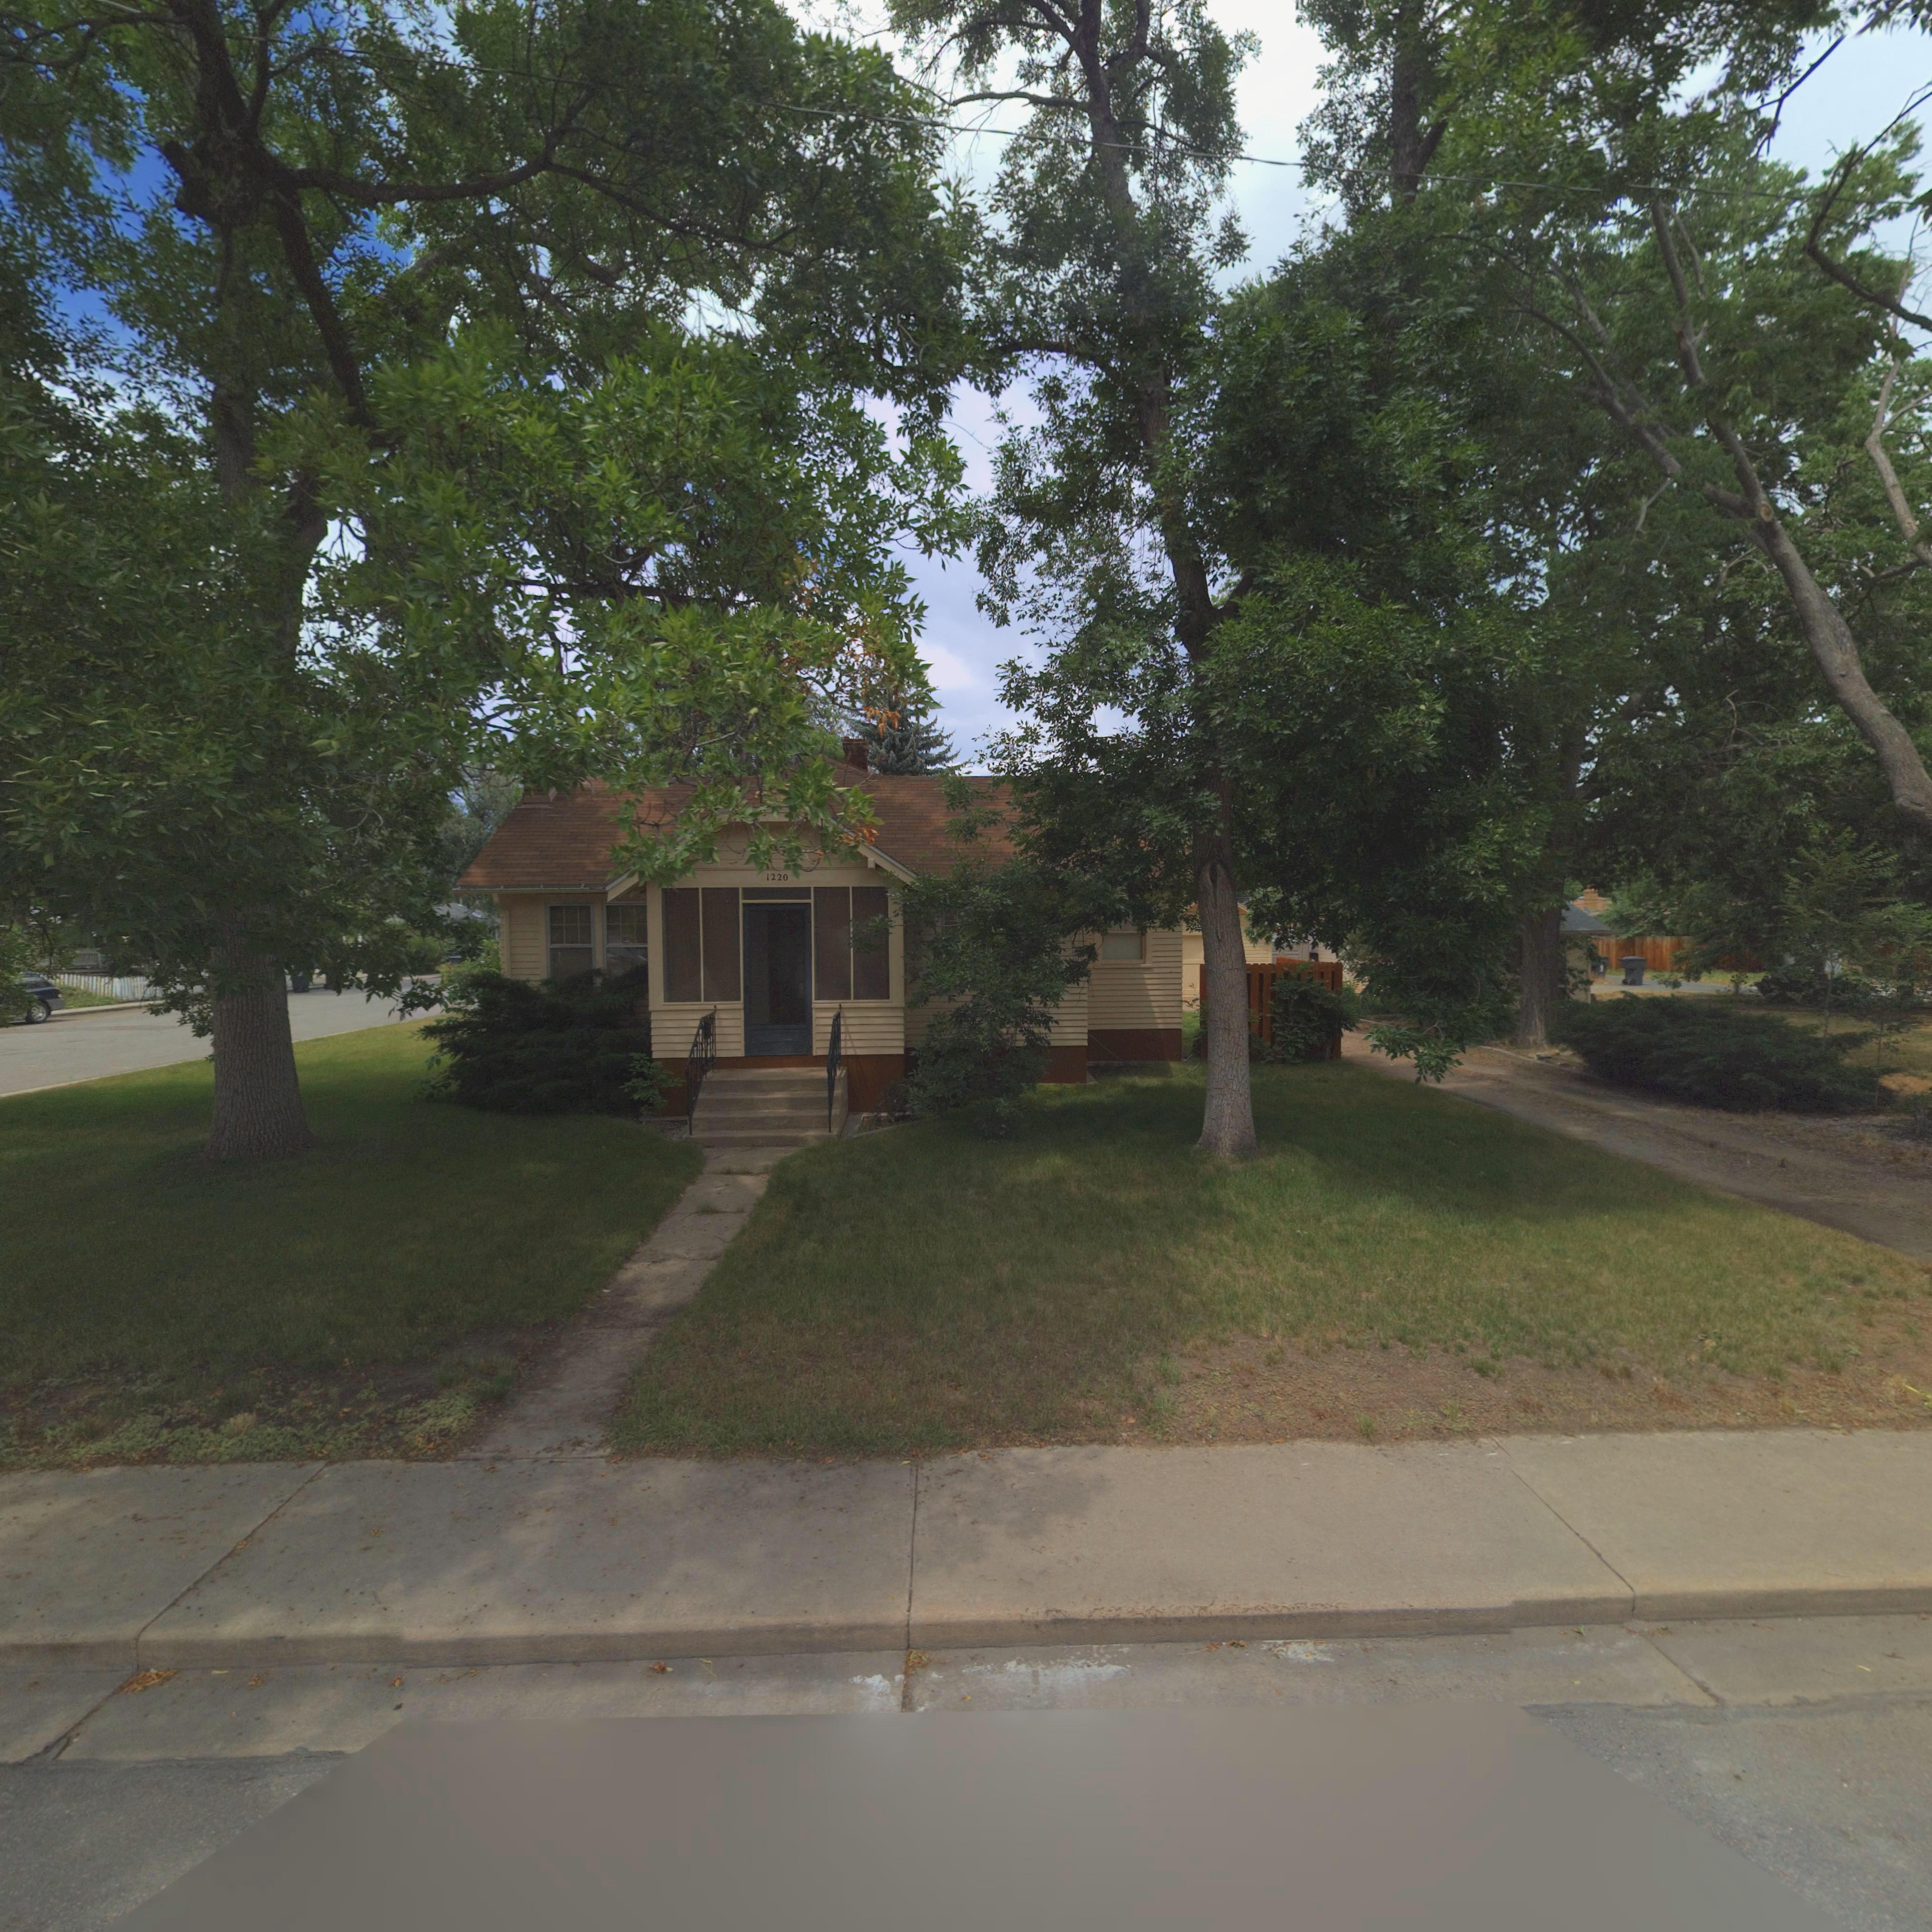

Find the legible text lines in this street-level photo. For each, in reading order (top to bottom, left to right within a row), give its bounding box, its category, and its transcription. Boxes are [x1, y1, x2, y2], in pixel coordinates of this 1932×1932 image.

[766, 873, 788, 881] StreetNumber: 1220